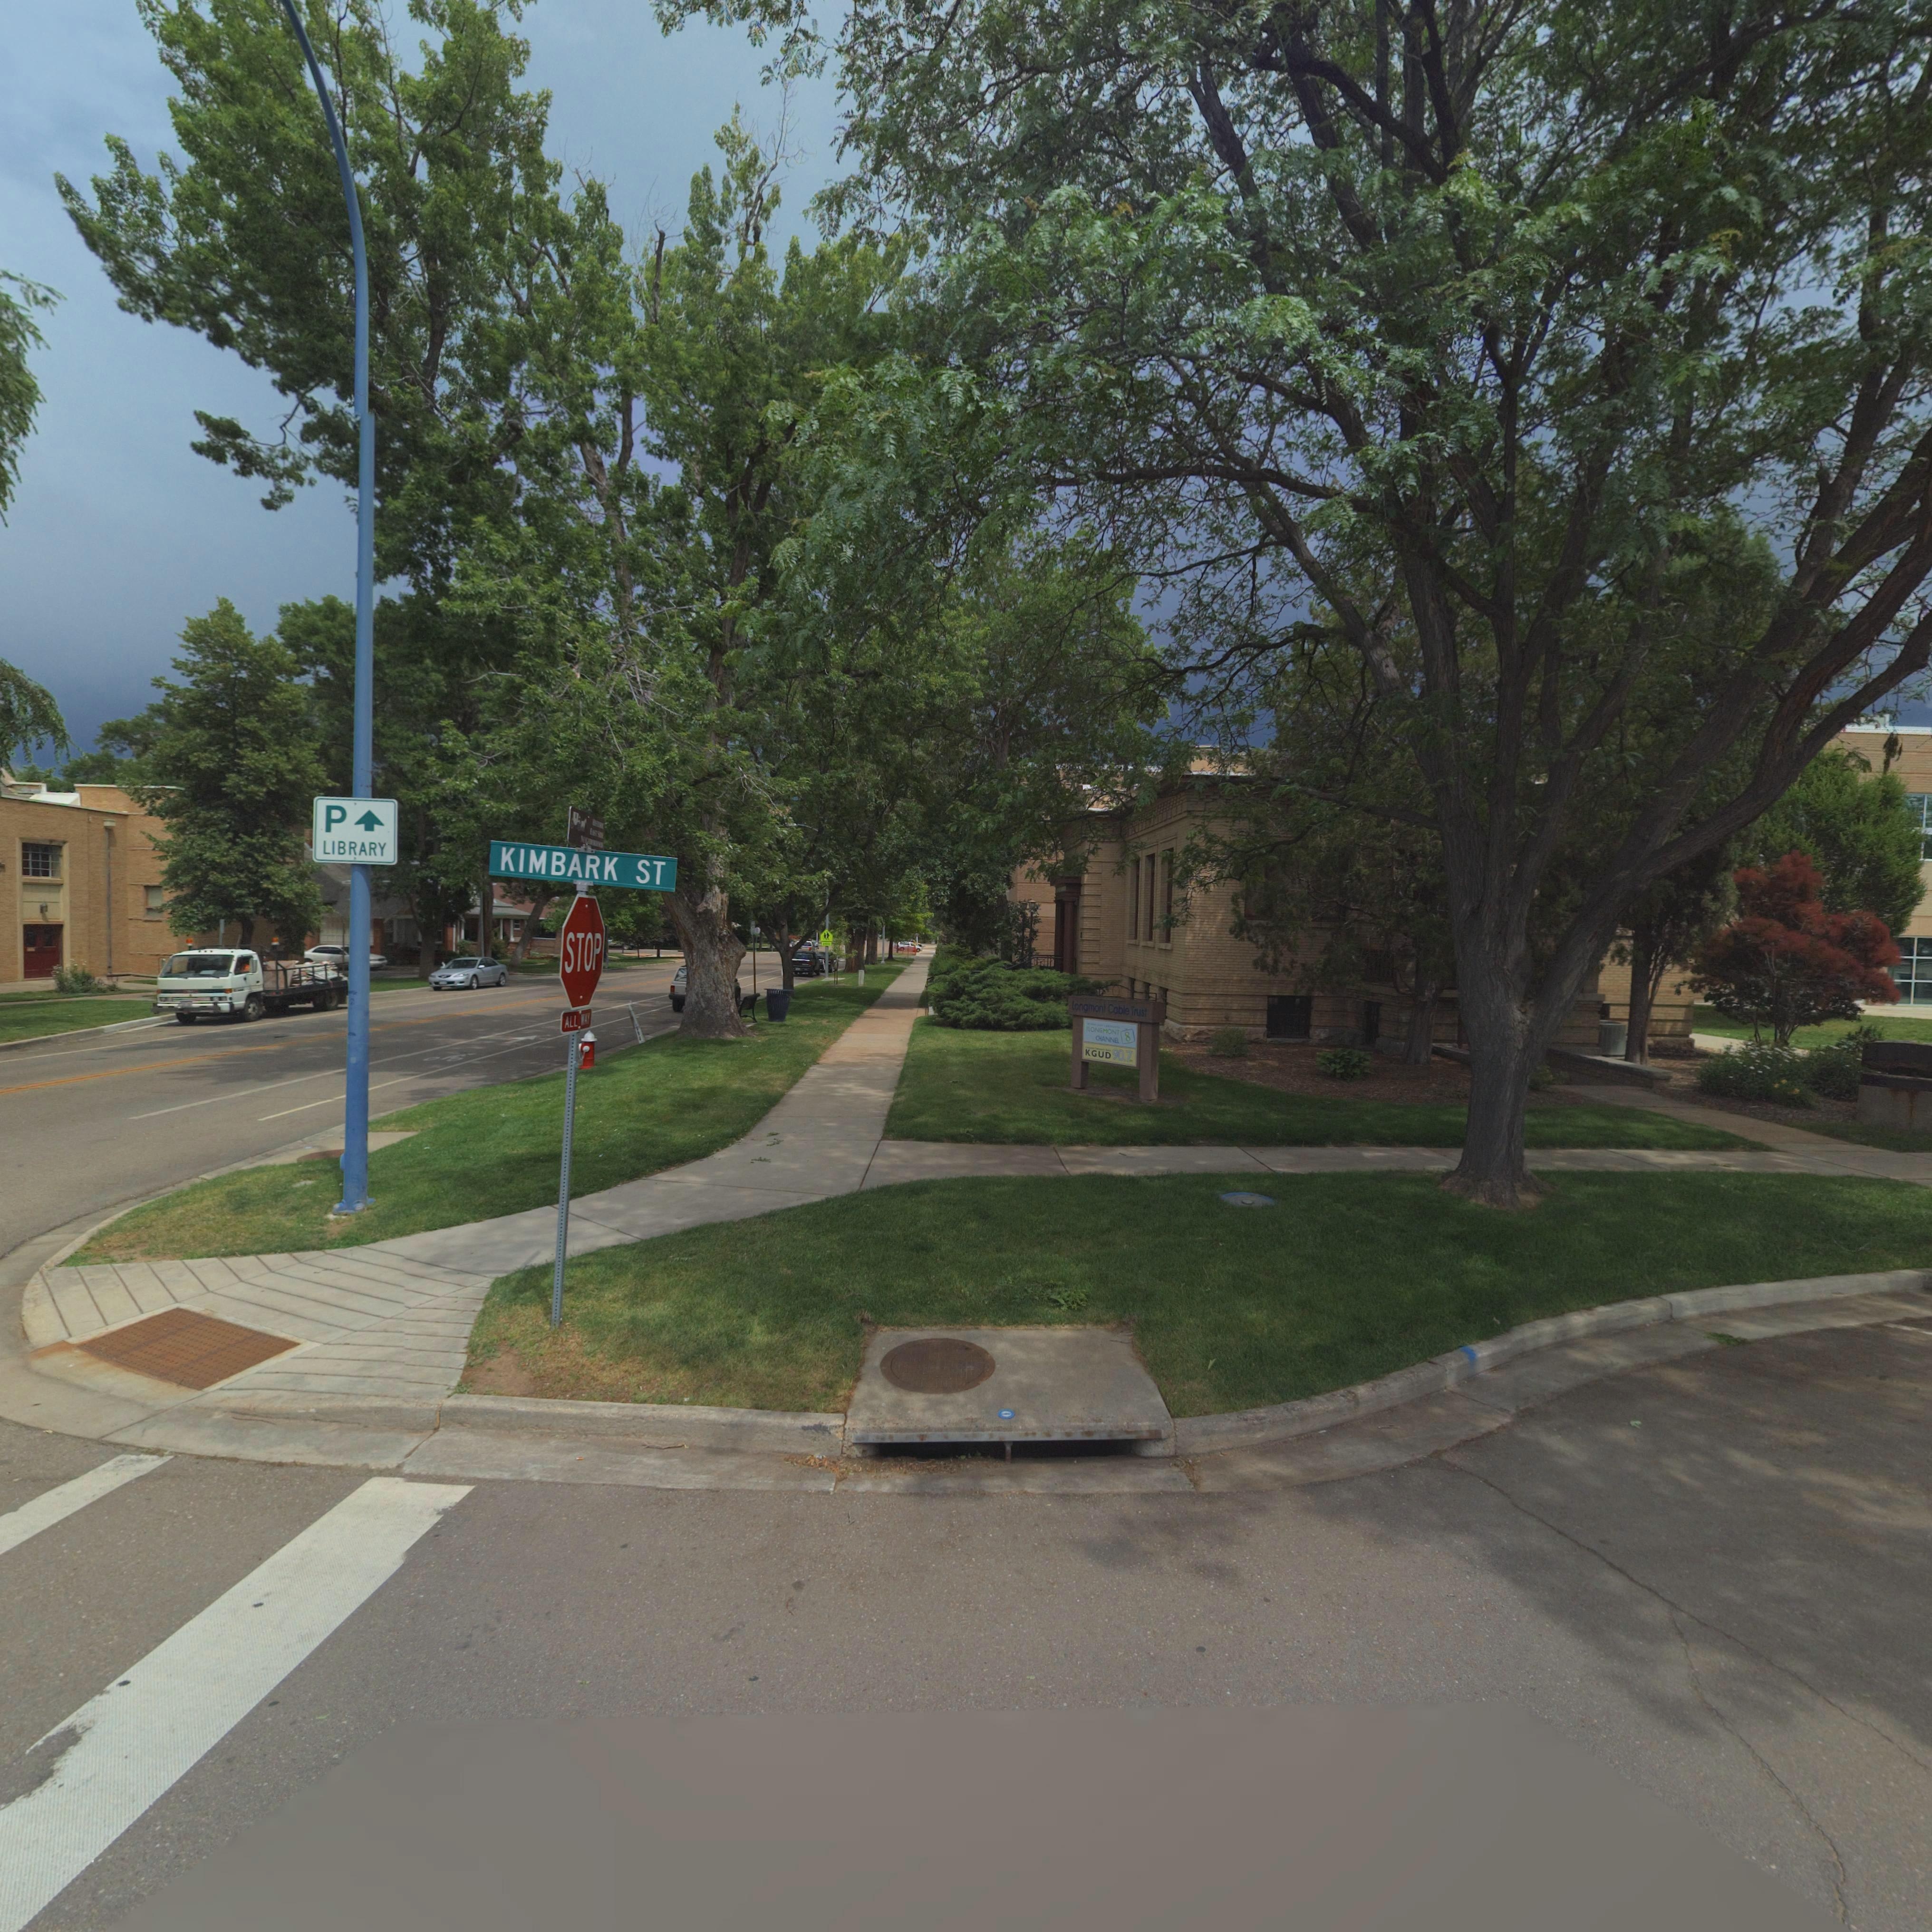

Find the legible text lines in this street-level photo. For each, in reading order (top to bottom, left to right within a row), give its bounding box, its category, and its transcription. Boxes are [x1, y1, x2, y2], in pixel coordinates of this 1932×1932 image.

[499, 846, 667, 885] StreetName: KIMBARK ST
[1072, 1001, 1148, 1017] BusinessName: Longmont Cable Trust